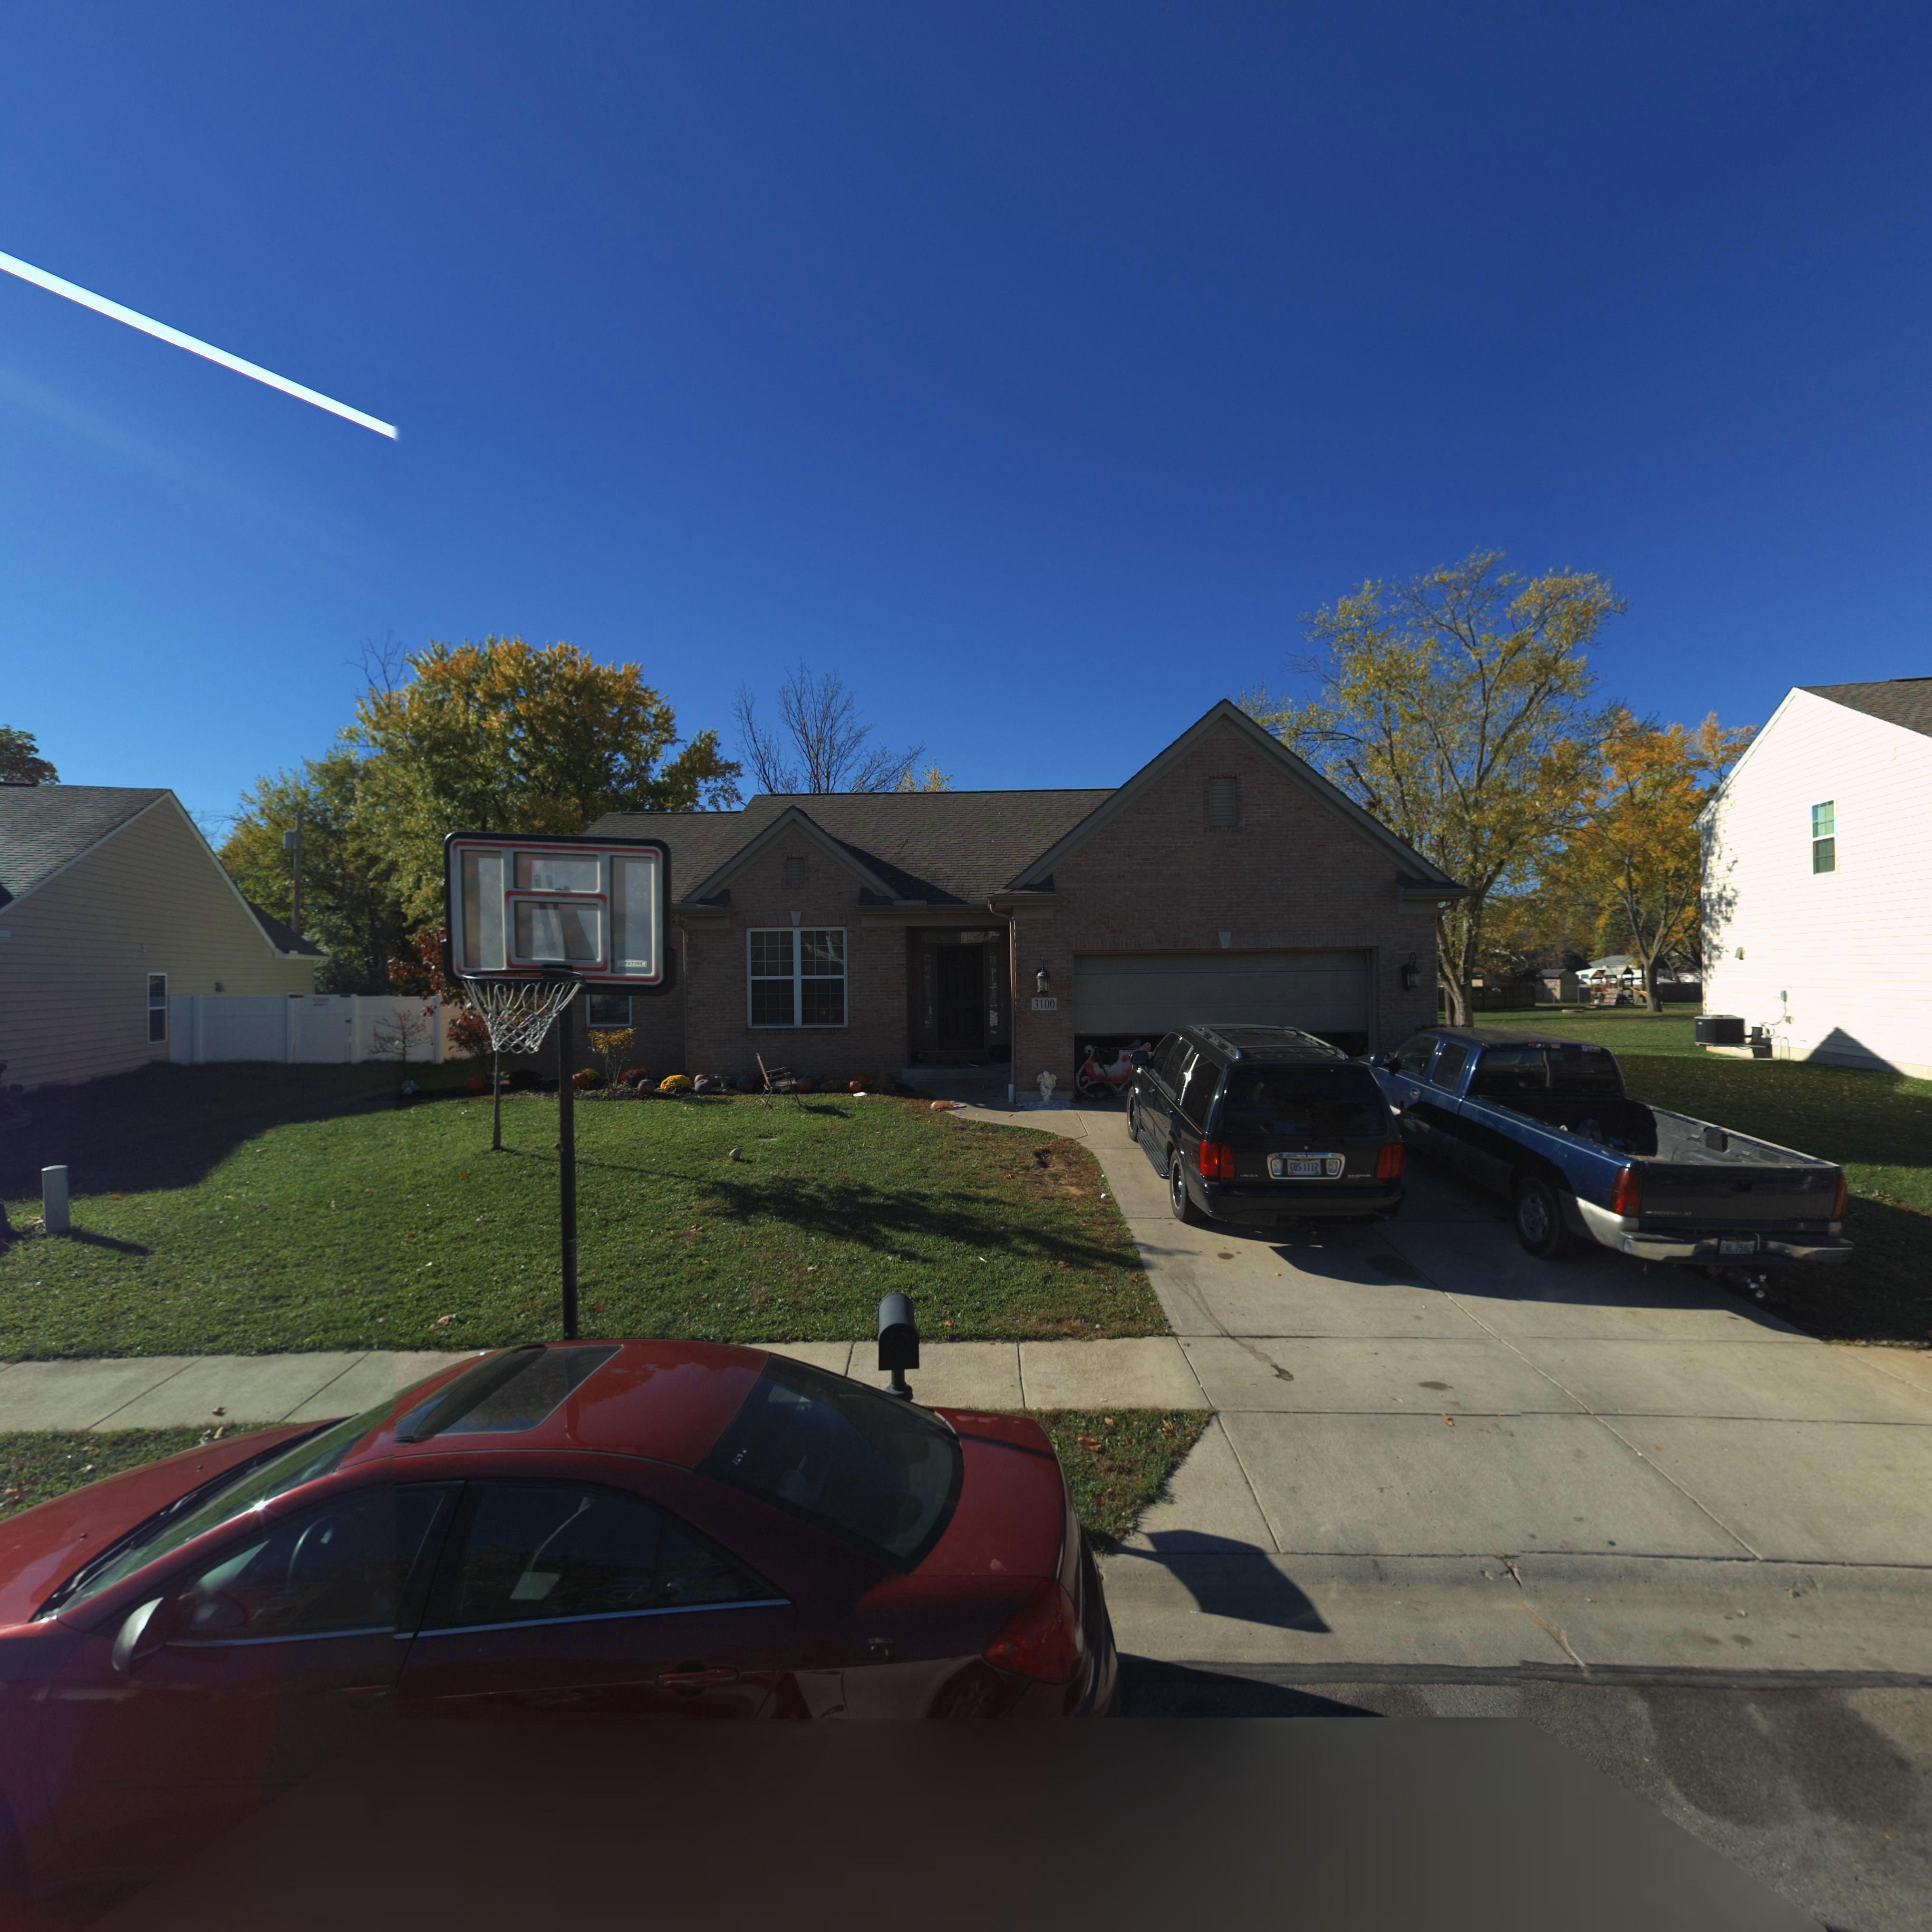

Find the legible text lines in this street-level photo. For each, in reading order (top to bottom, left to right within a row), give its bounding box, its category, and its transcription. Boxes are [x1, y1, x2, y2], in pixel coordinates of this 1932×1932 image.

[1034, 999, 1055, 1009] StreetNumber: 3100